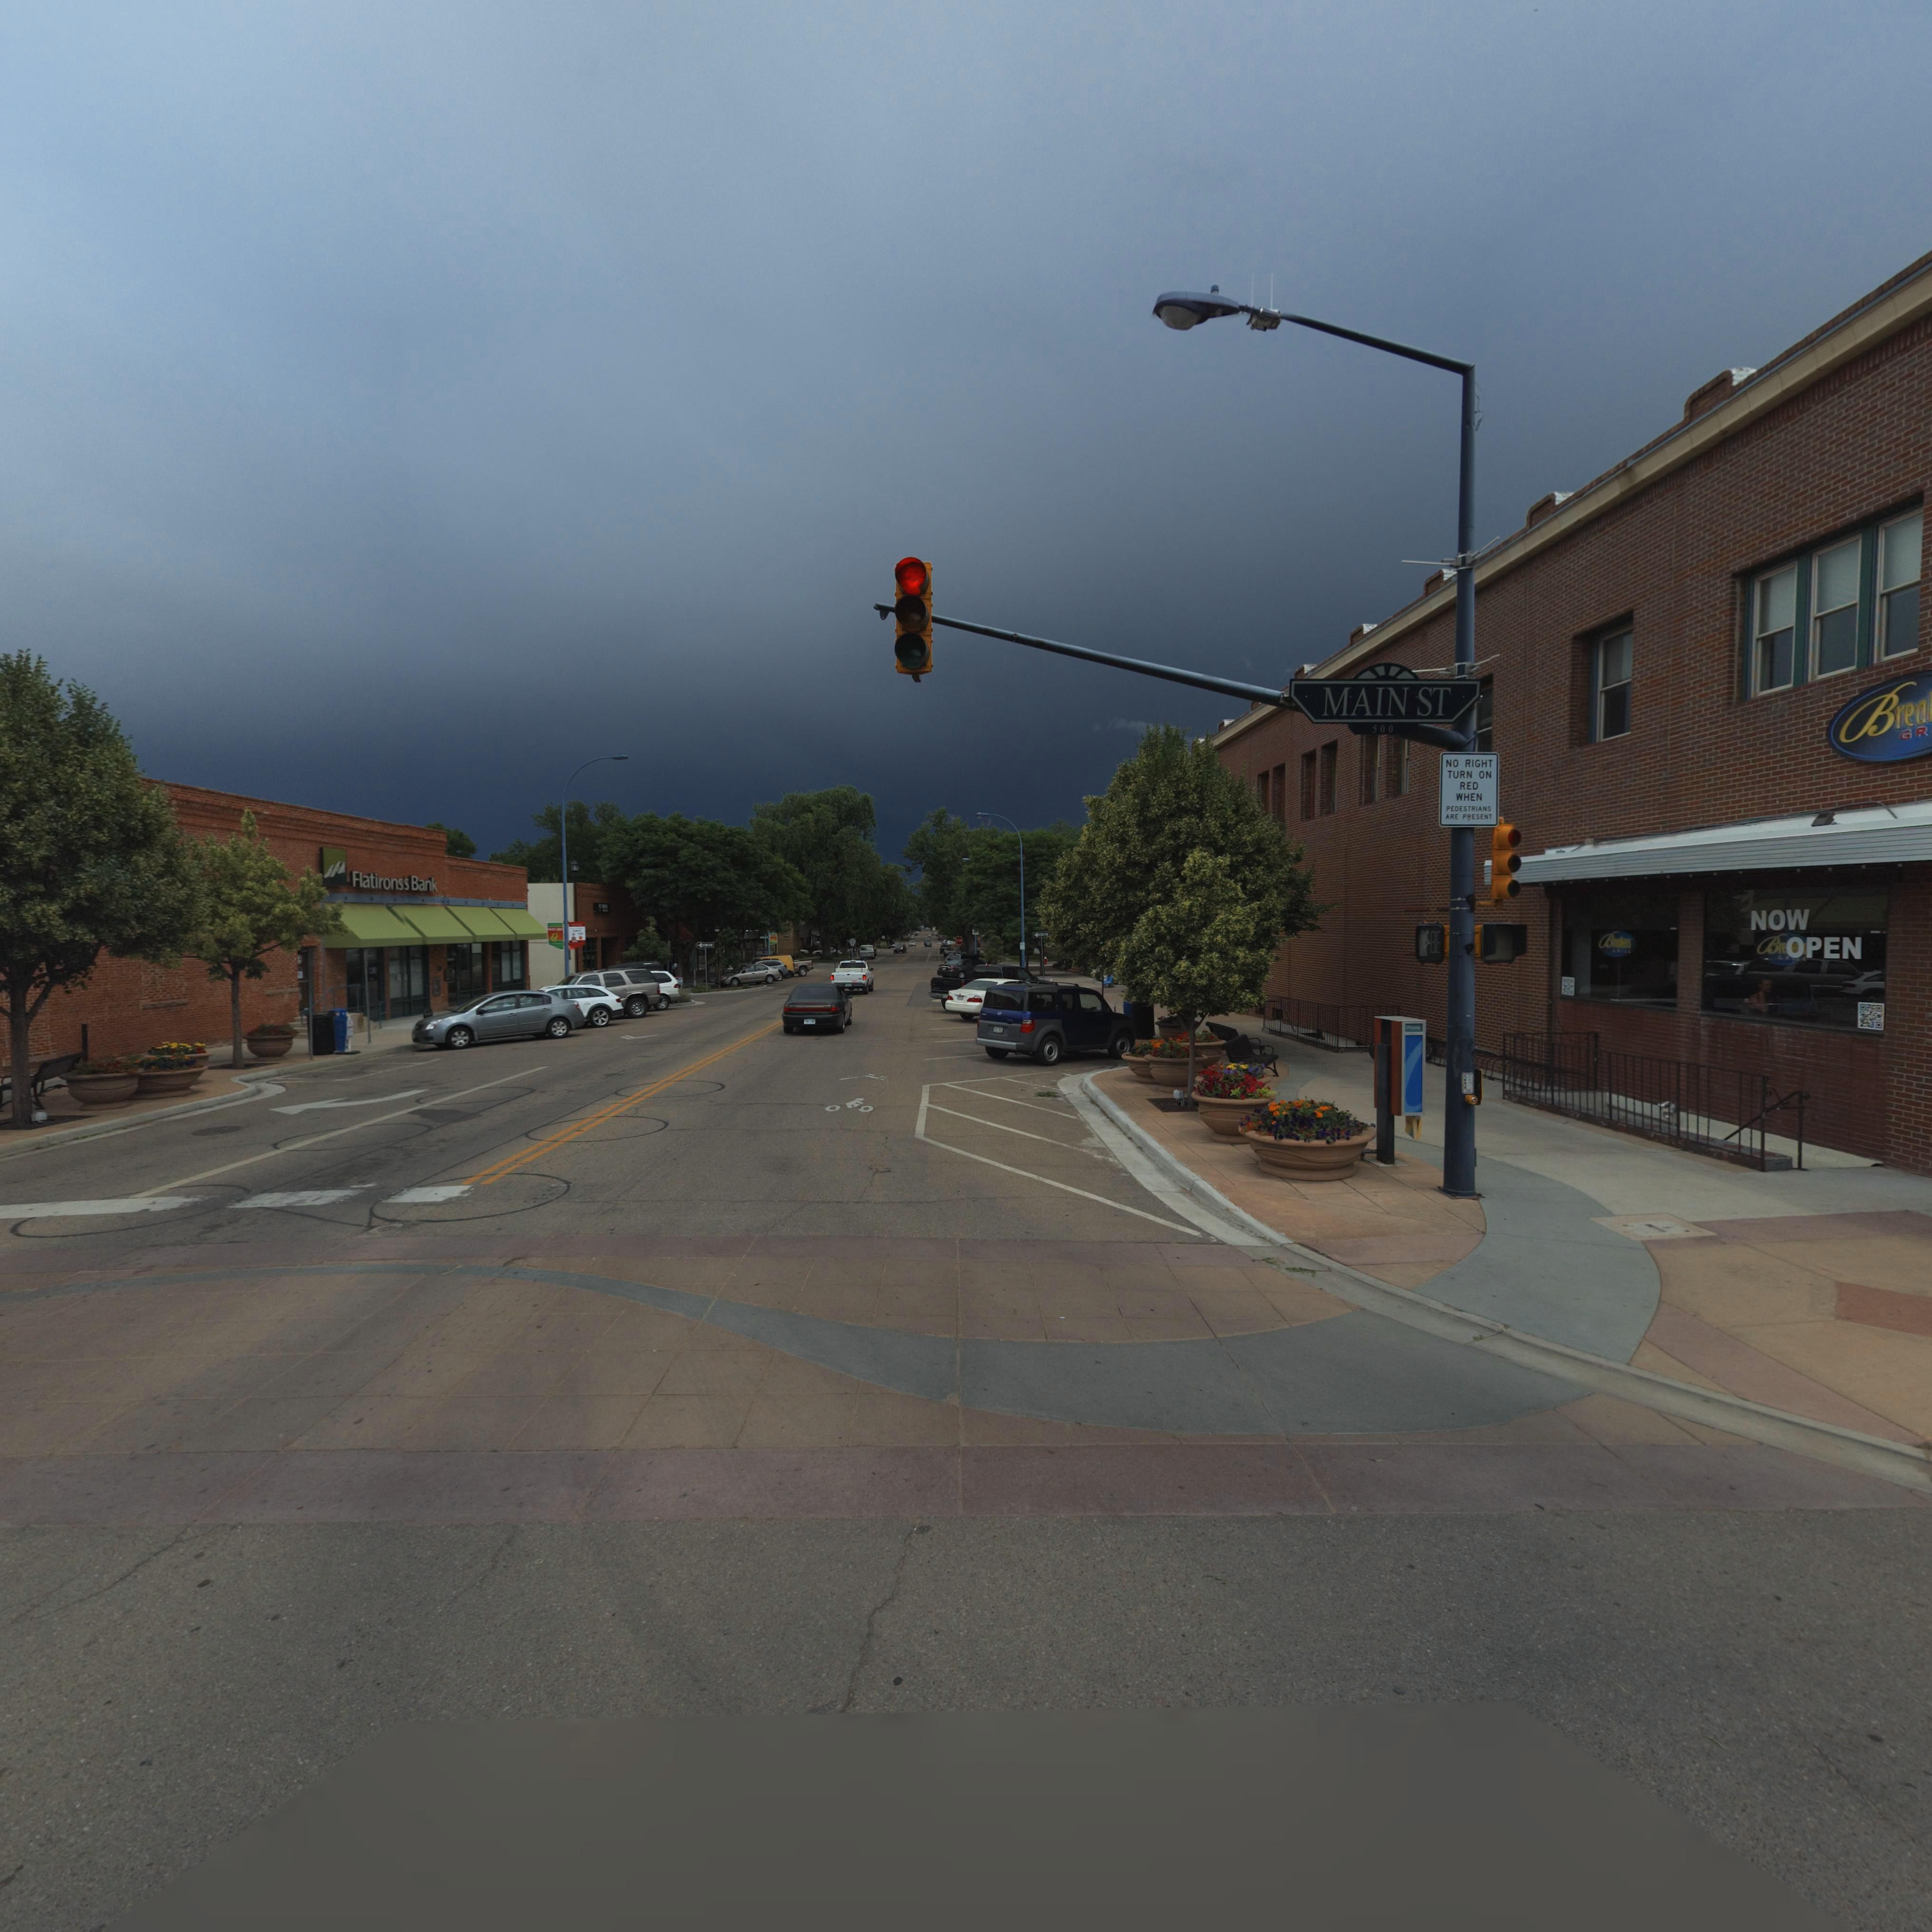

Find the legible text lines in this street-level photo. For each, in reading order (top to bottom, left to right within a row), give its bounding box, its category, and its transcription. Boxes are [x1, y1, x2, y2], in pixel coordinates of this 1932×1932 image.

[1838, 692, 1929, 744] BusinessName: Brea****
[1372, 724, 1394, 733] StreetNumberRange: 500
[1899, 725, 1928, 740] BusinessName: GR***
[352, 870, 438, 892] BusinessName: Flatironss Bank
[1598, 932, 1631, 949] BusinessName: B*******
[1756, 935, 1807, 955] BusinessName: Br******
[1778, 955, 1806, 961] BusinessName: GR***